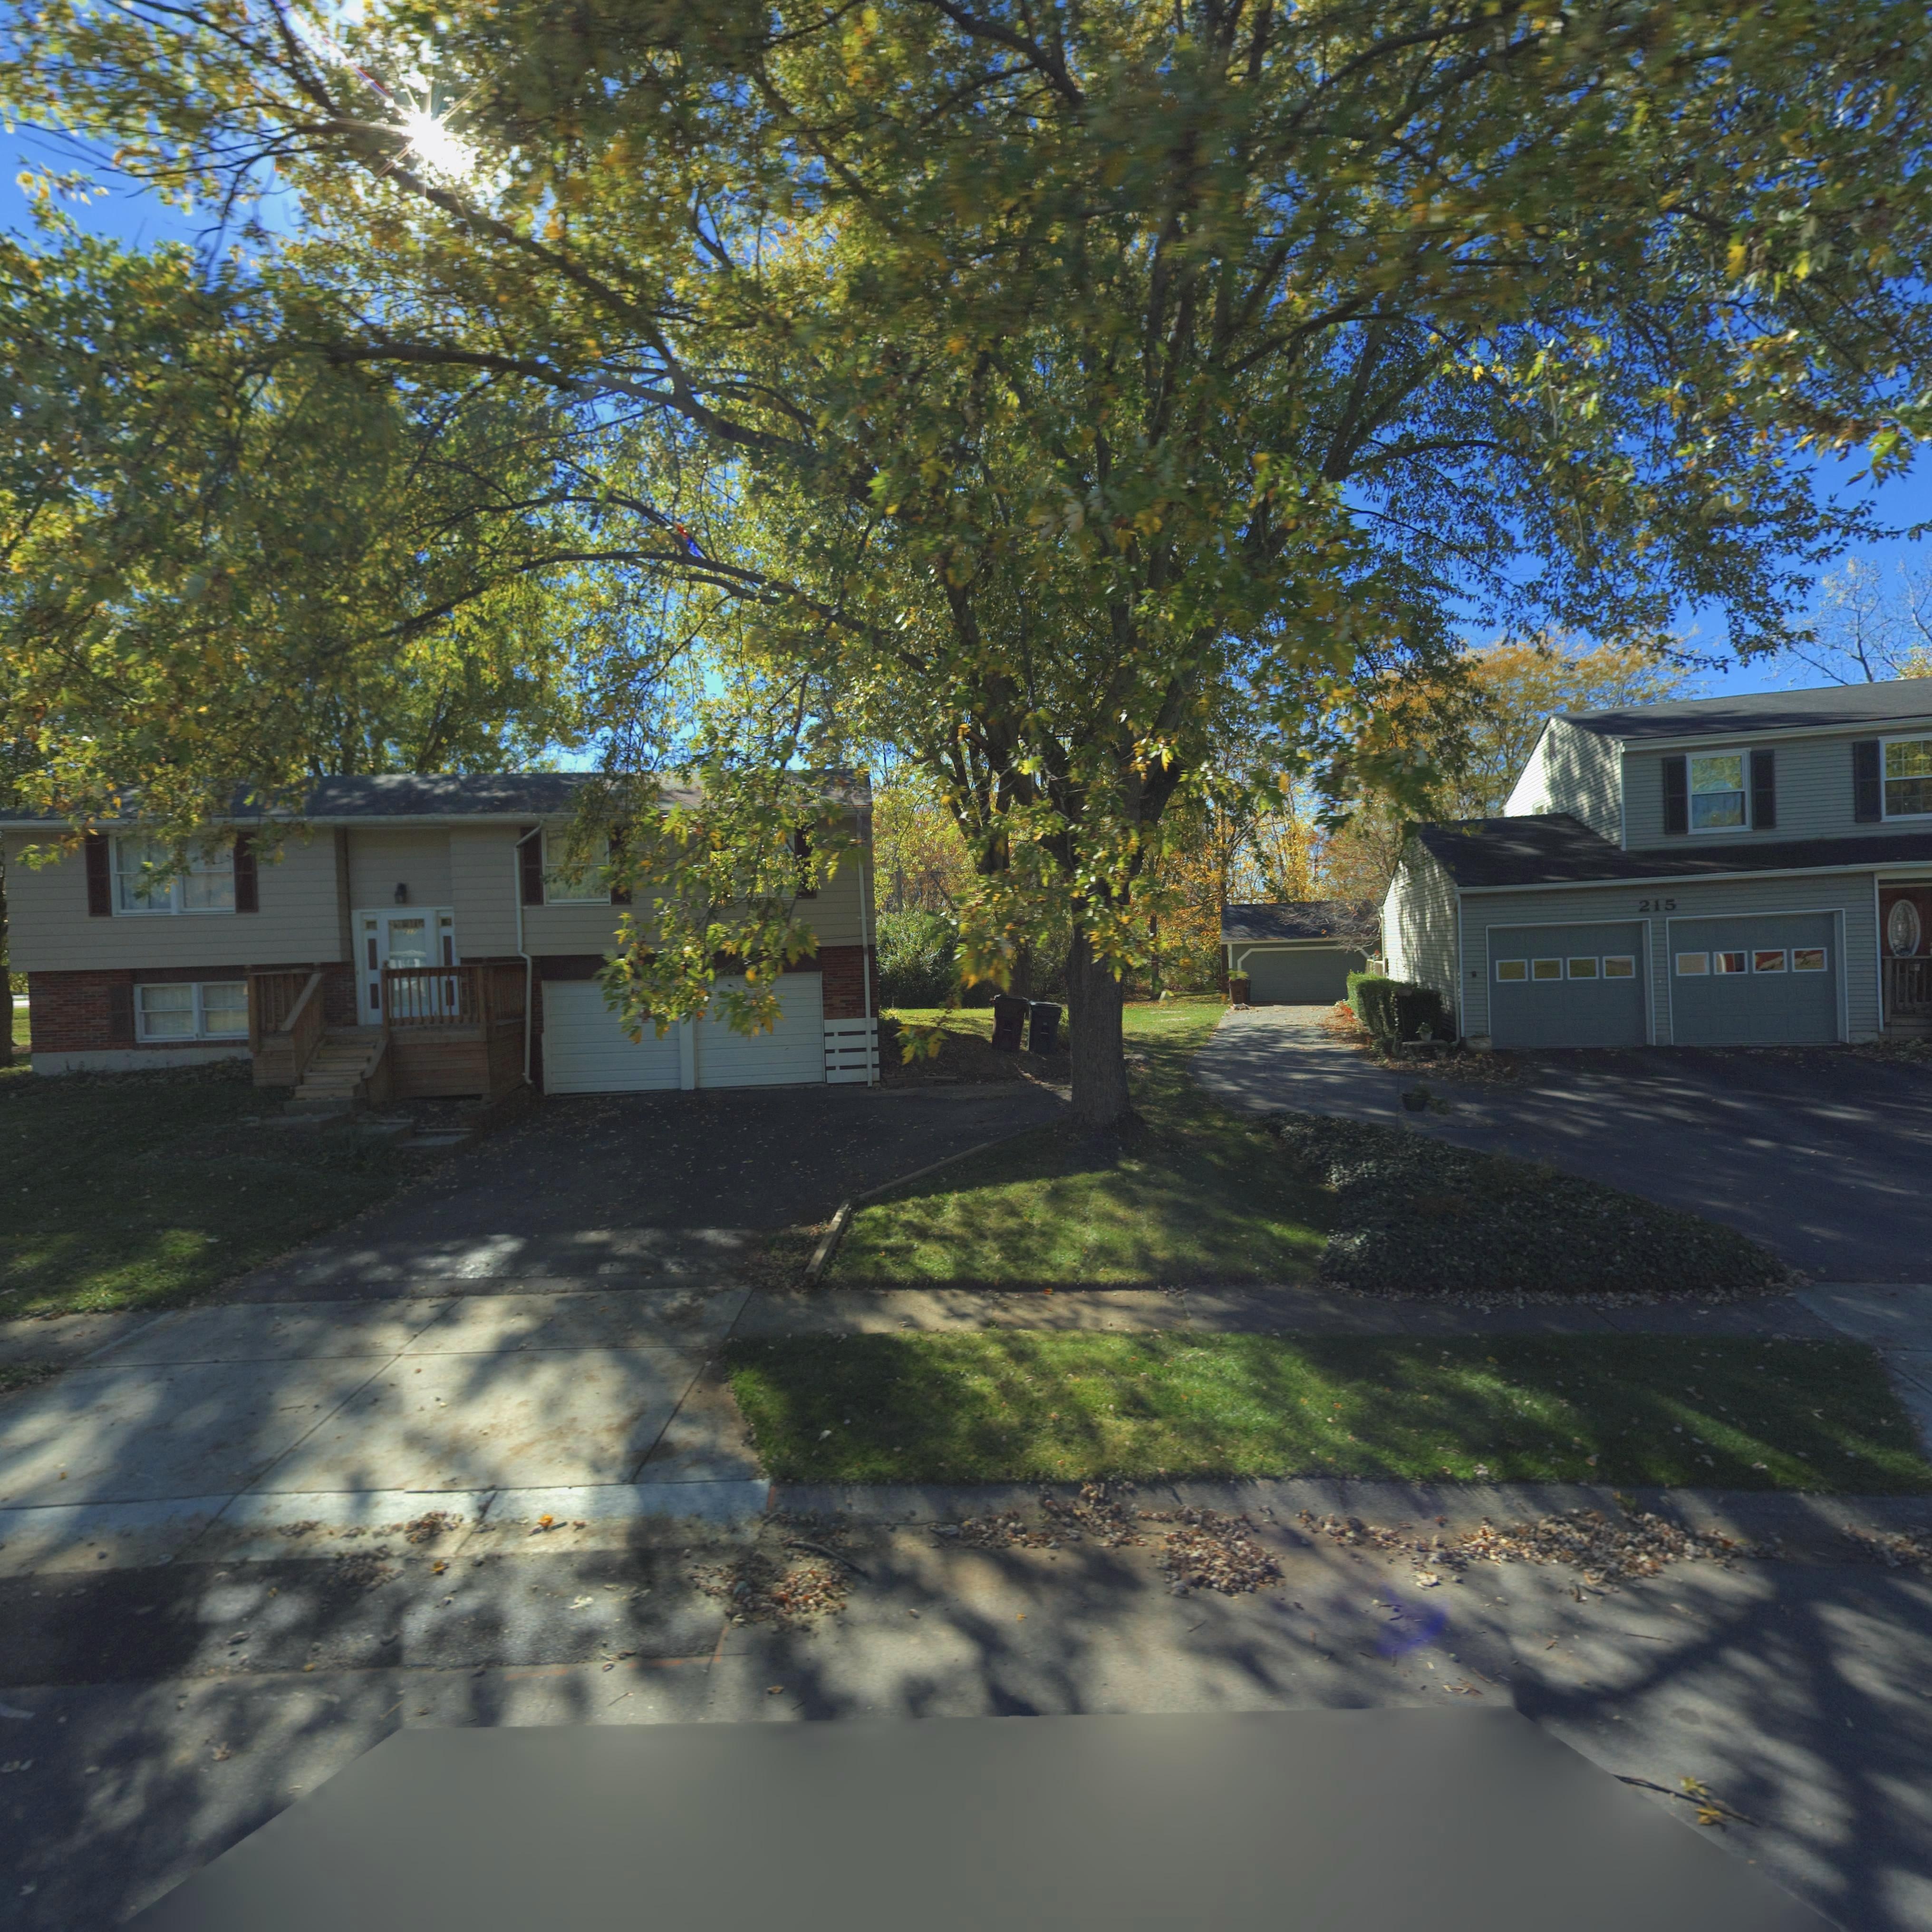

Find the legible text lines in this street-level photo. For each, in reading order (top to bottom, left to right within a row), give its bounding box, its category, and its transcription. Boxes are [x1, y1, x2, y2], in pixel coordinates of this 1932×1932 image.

[1637, 897, 1679, 914] StreetNumber: 215
[402, 927, 417, 935] StreetNumber: 217